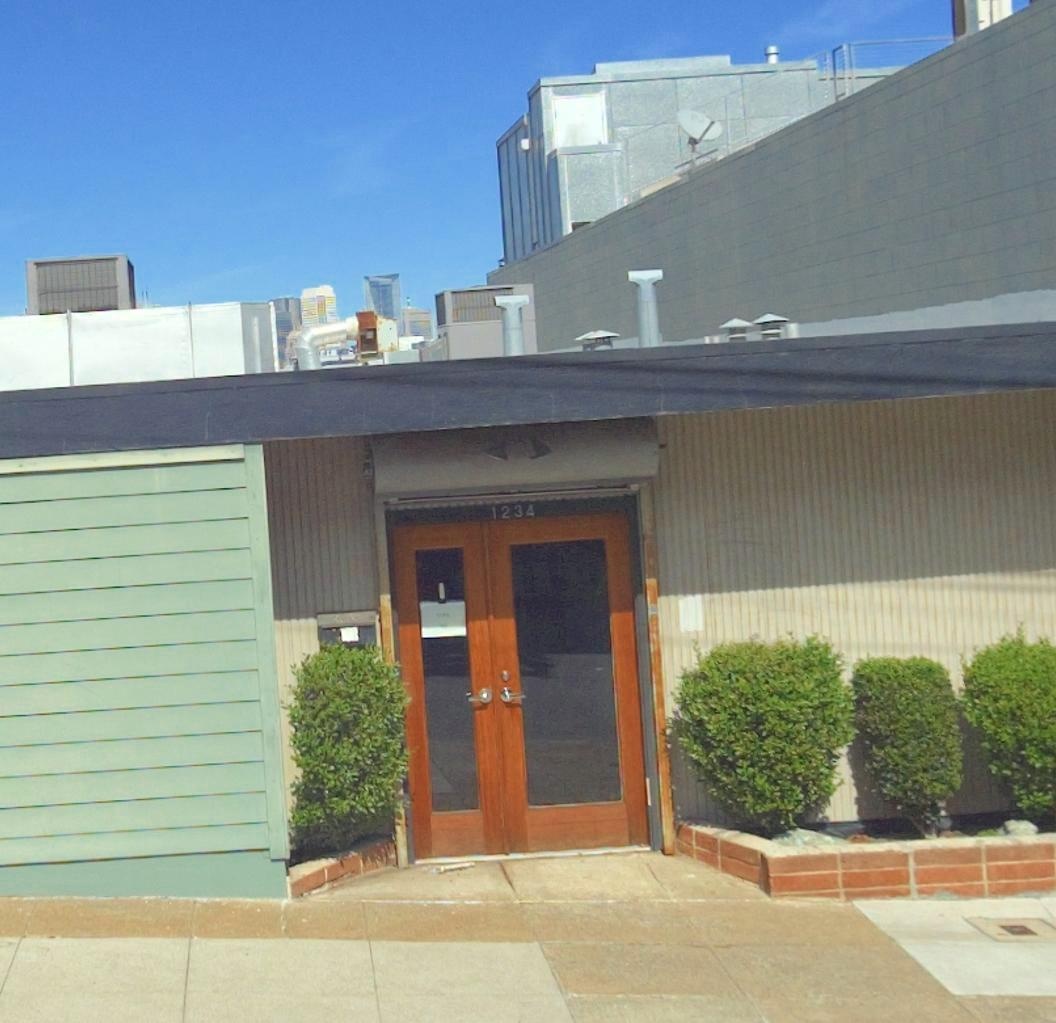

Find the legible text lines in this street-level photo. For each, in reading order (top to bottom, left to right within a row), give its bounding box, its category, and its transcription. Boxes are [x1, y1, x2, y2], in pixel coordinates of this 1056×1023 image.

[489, 501, 536, 523] StreetNumber: 1234